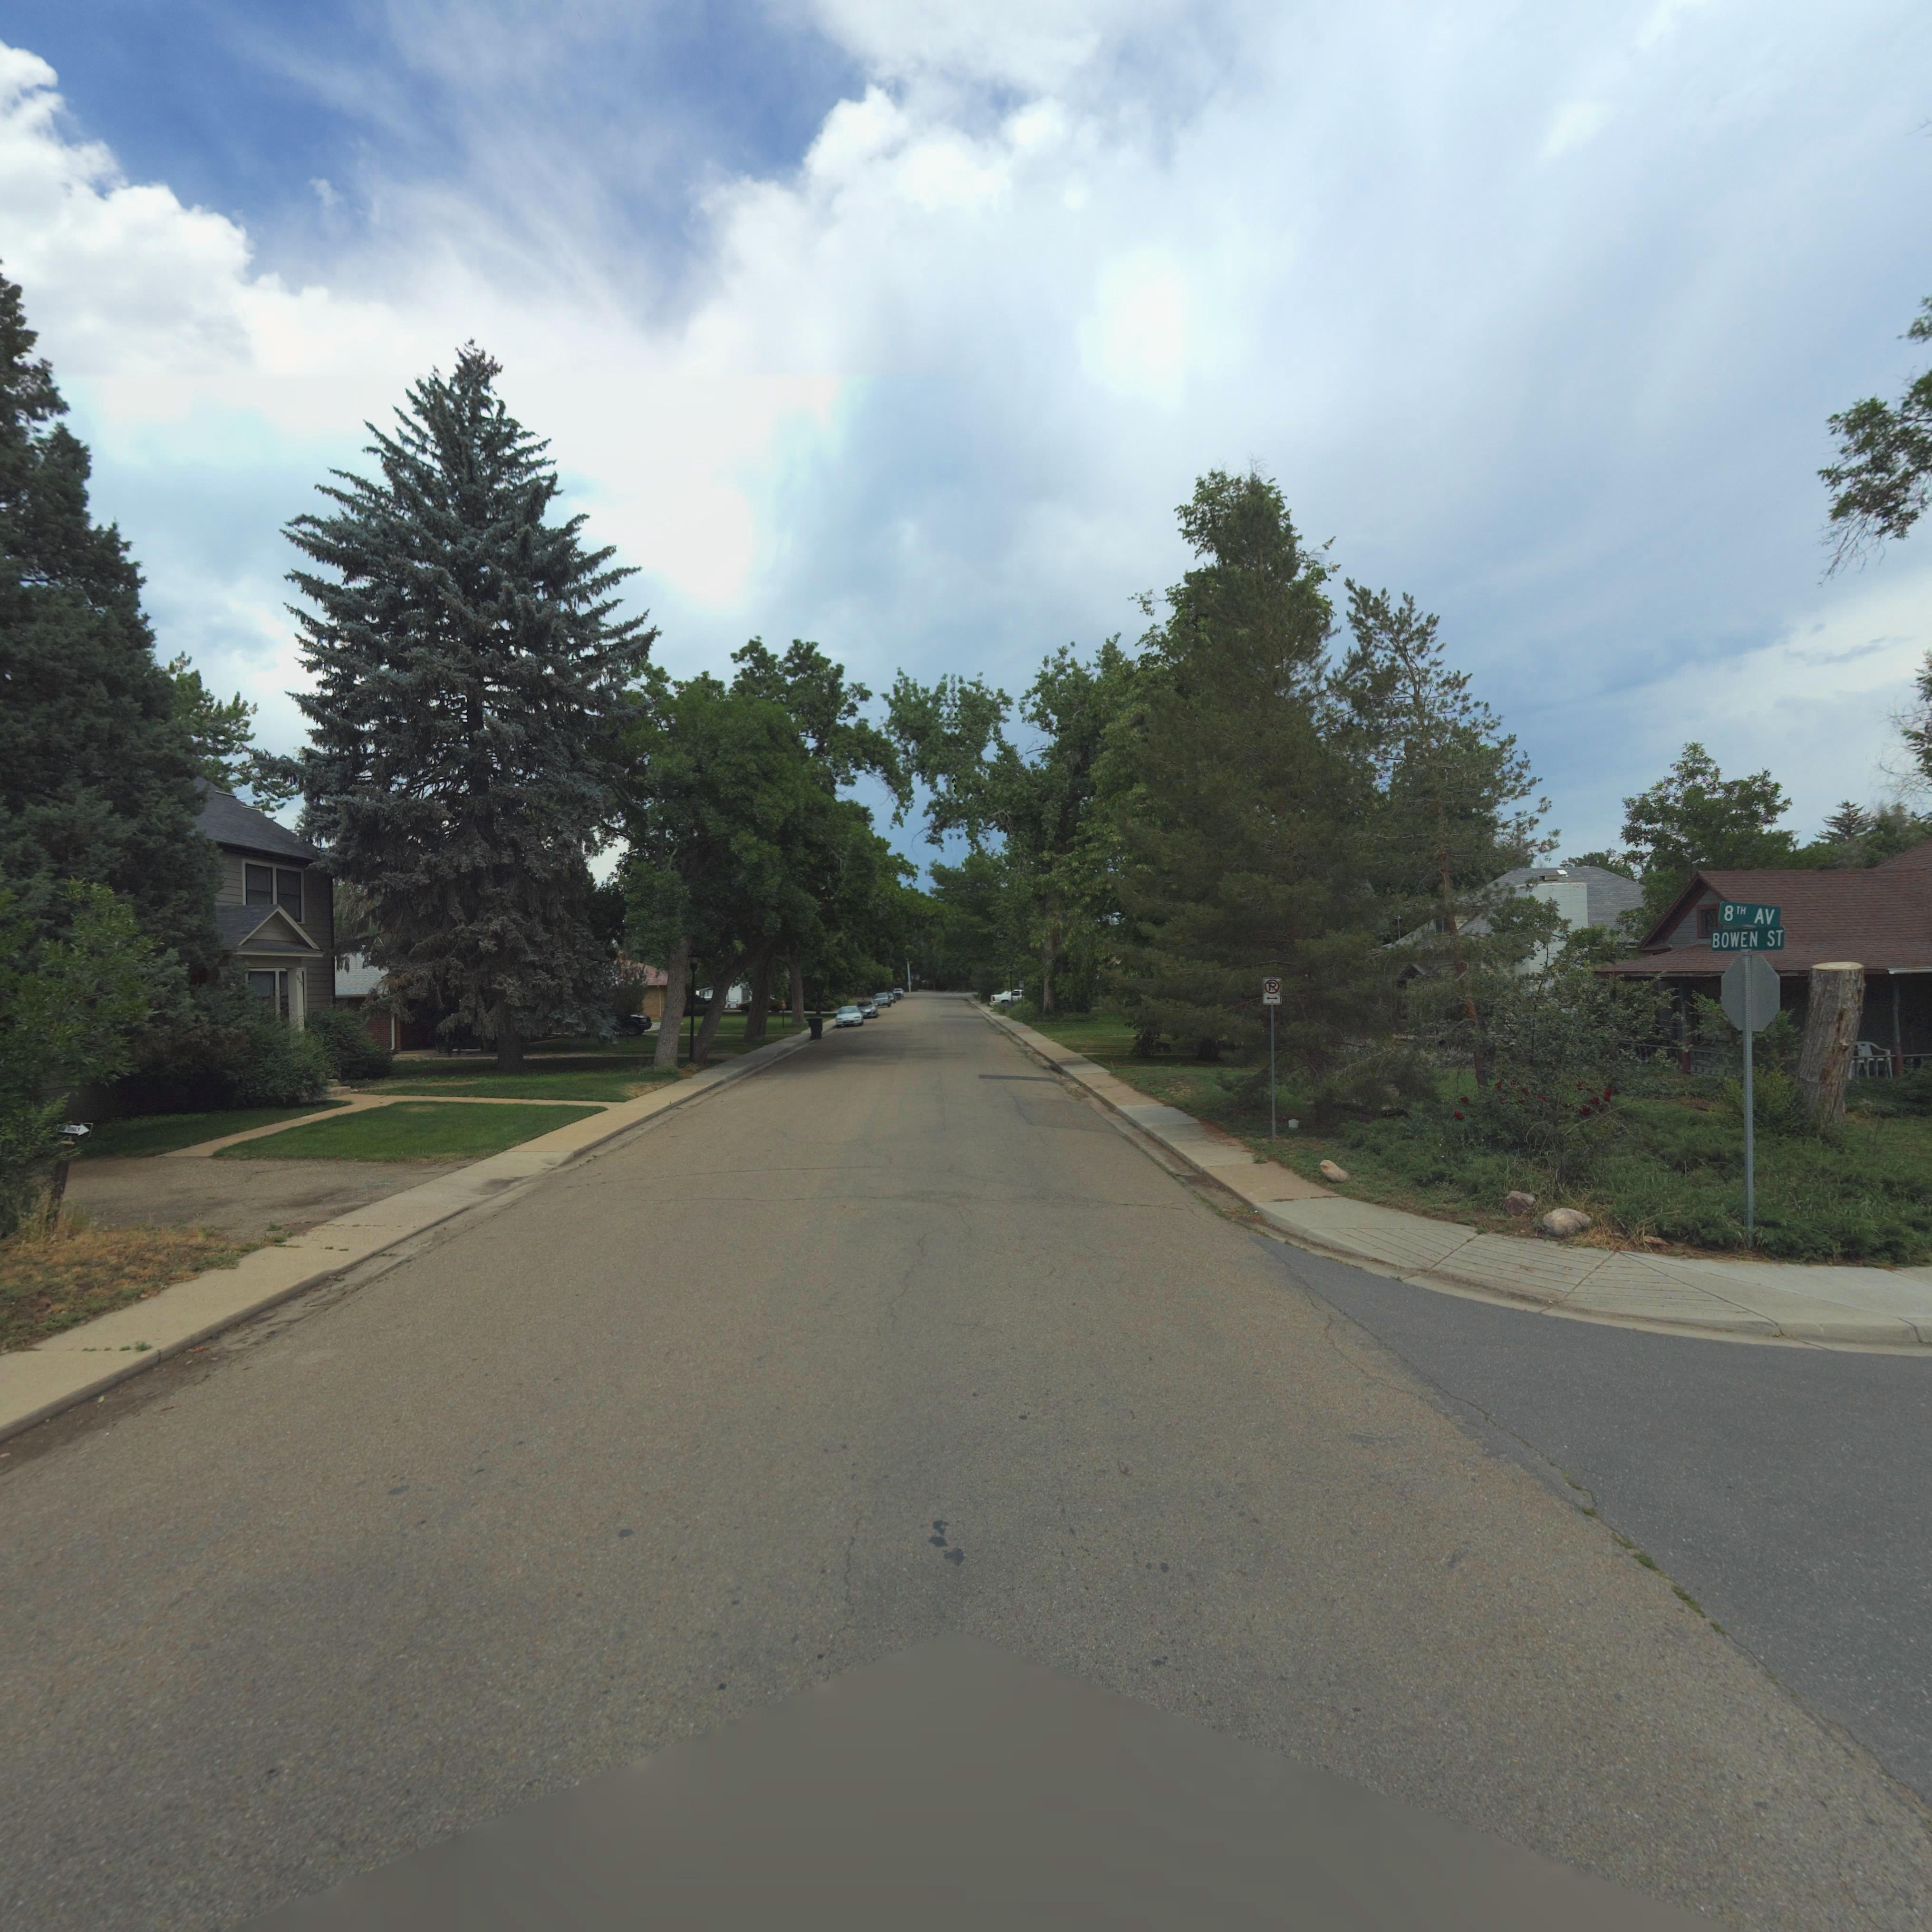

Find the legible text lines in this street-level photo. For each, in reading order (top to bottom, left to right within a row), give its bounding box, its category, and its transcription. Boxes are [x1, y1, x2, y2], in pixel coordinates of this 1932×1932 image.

[1724, 904, 1776, 925] StreetName: 8TH AV
[1712, 929, 1784, 948] StreetName: BOWEN ST